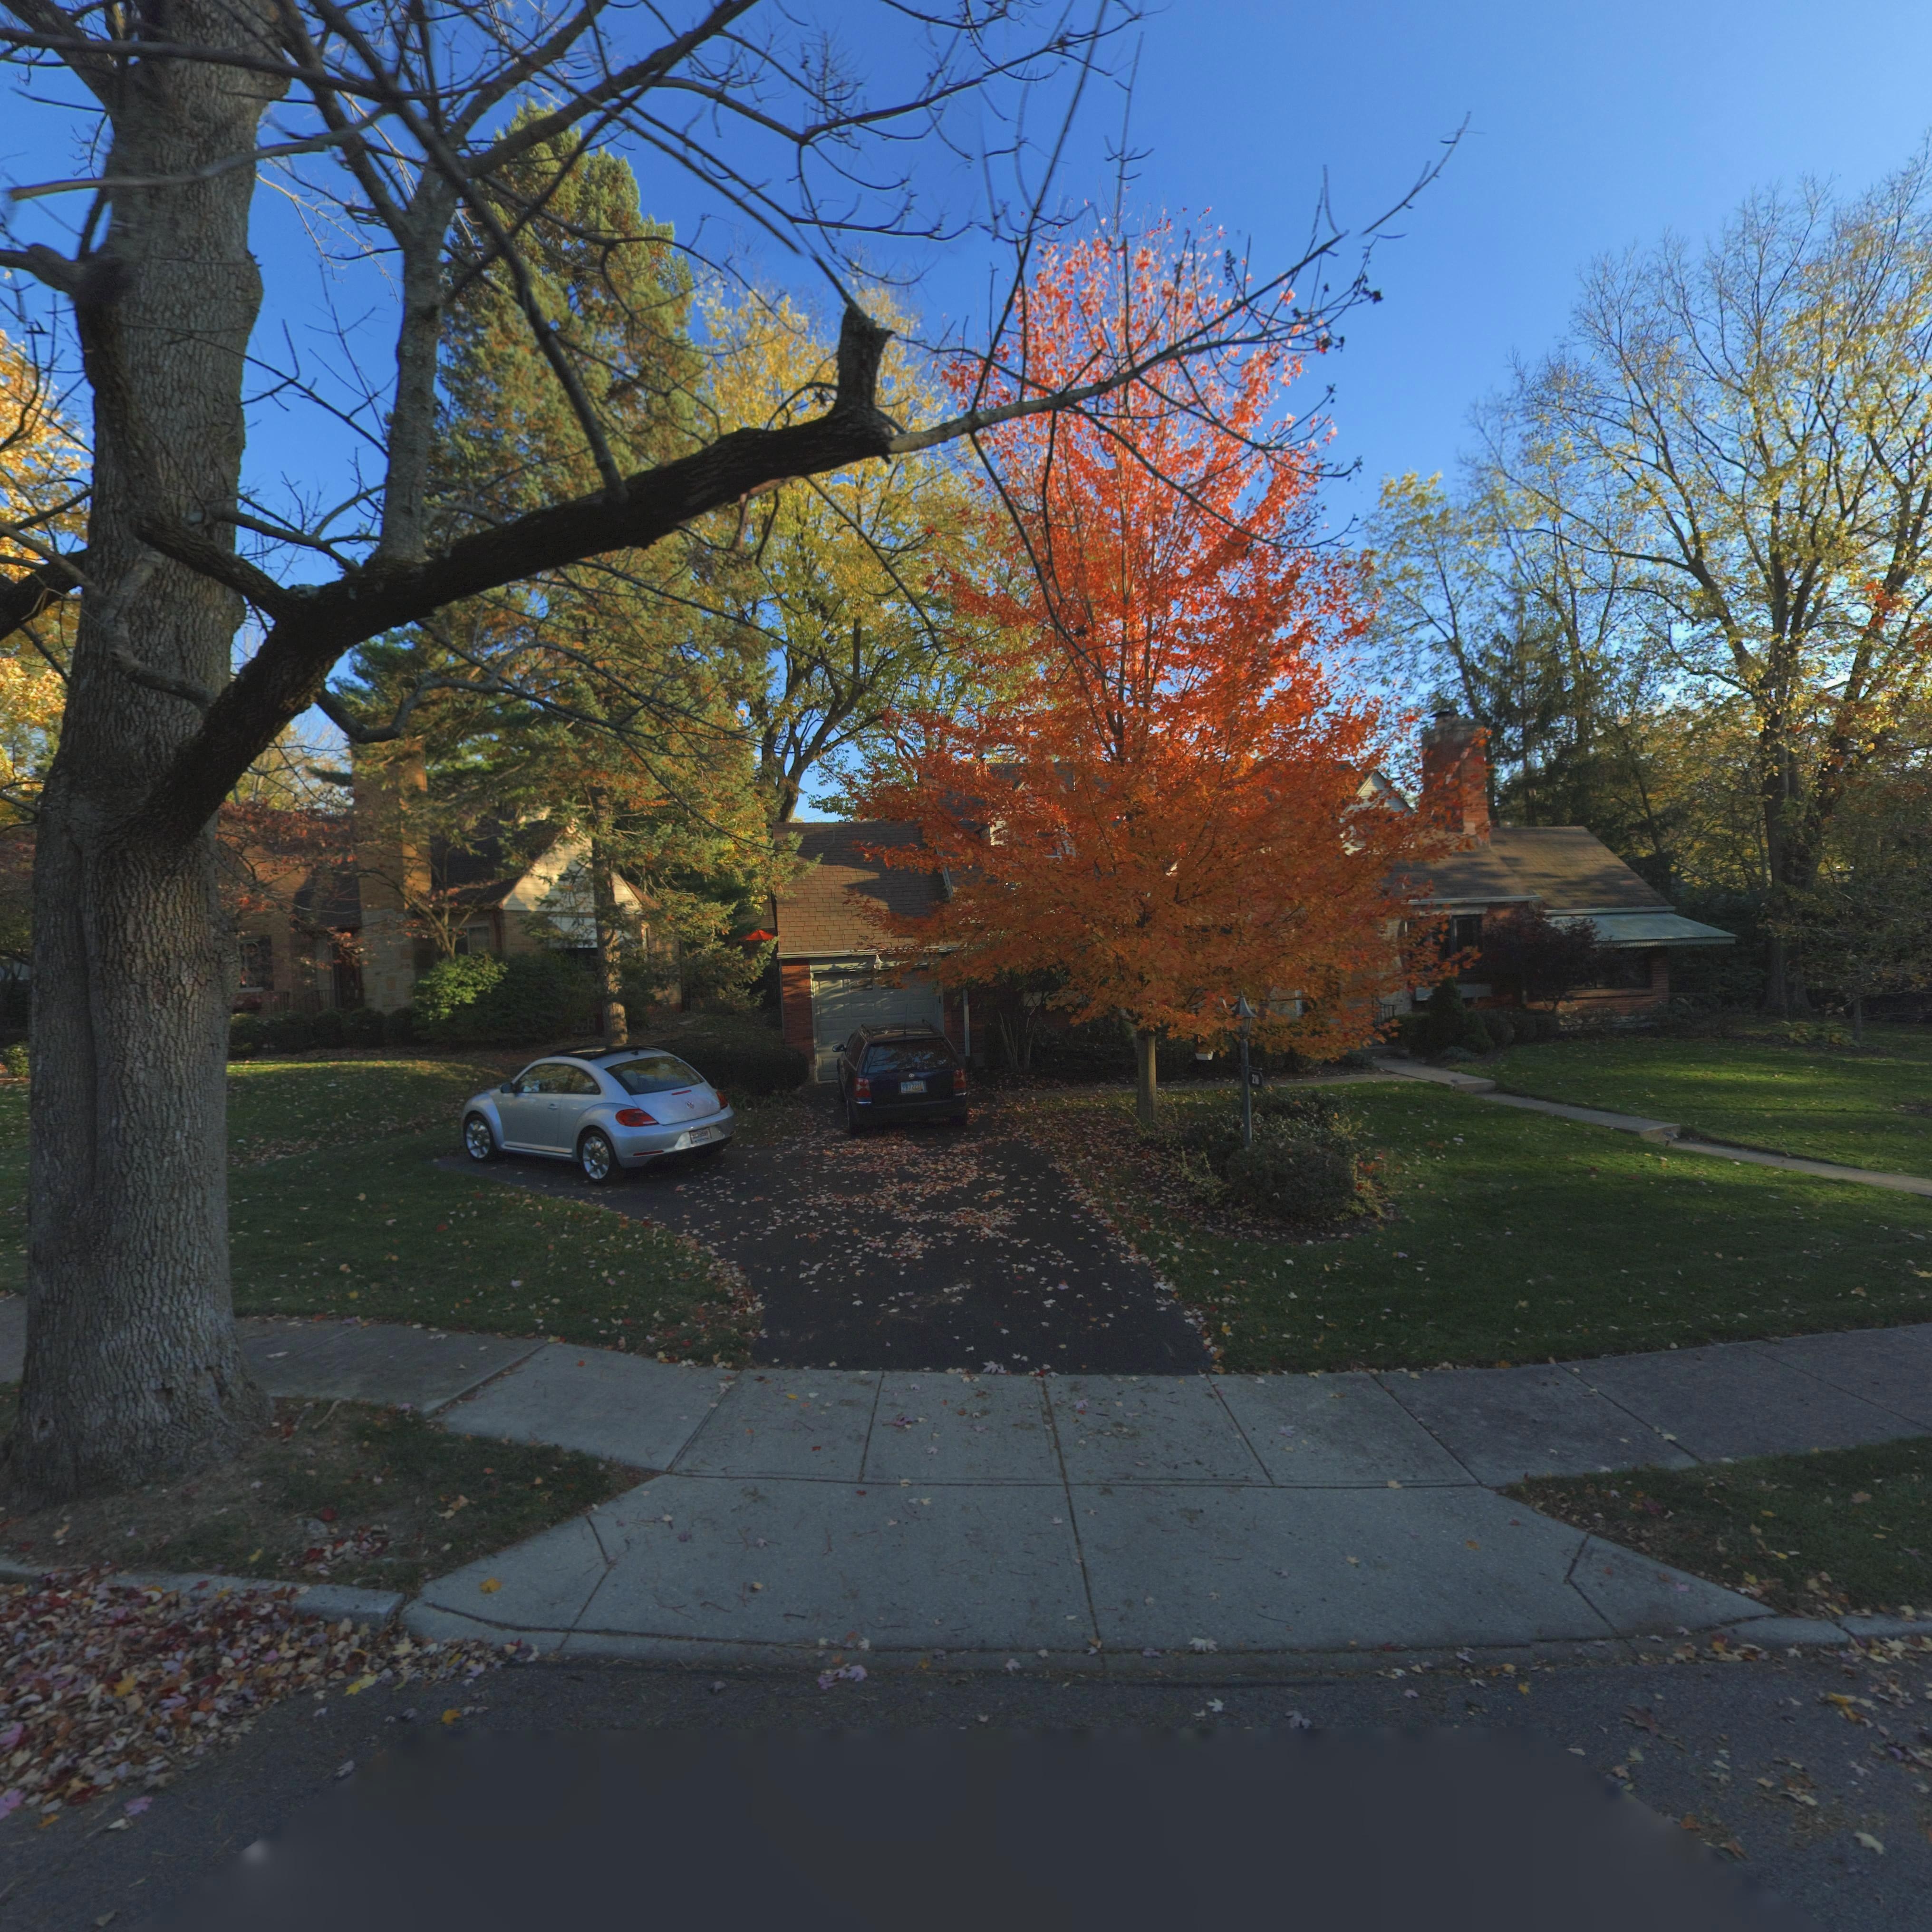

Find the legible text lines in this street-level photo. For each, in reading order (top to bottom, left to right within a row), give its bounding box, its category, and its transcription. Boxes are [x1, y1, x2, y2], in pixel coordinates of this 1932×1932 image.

[1251, 1072, 1260, 1086] StreetNumber: 2**